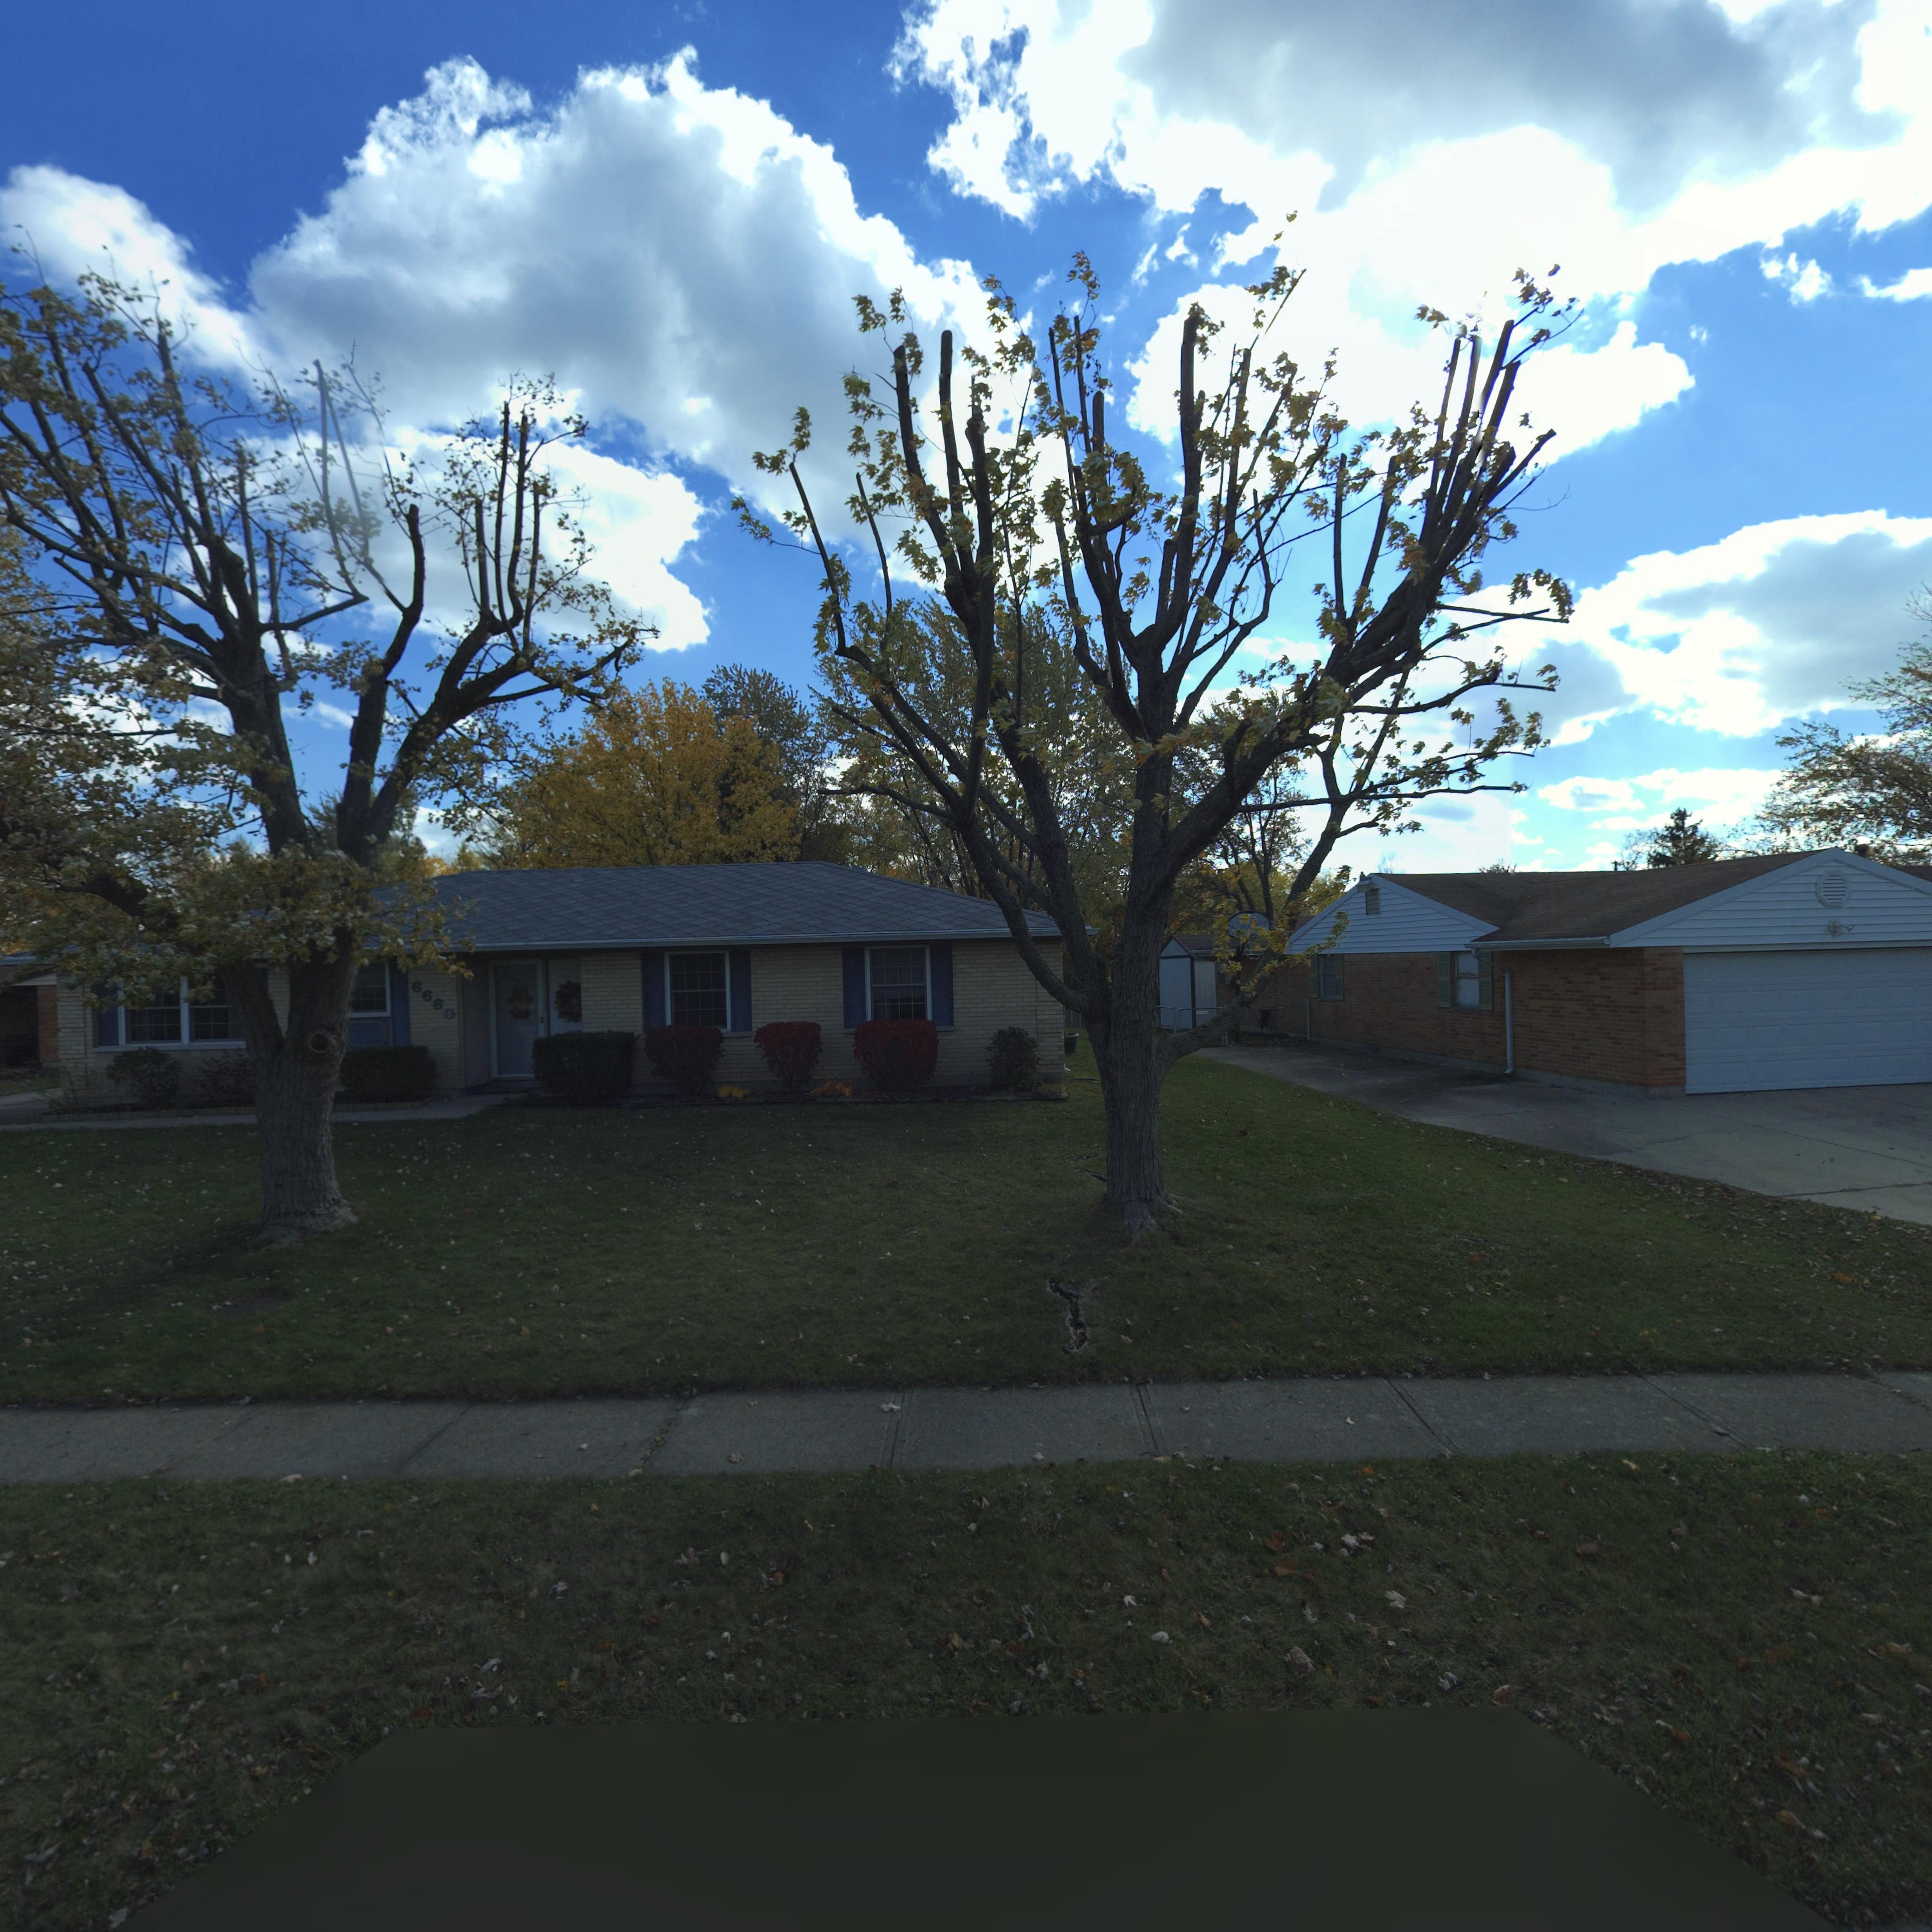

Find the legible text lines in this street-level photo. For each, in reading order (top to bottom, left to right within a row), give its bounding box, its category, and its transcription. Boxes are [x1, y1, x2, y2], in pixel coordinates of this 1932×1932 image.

[411, 980, 456, 1021] StreetNumber: 6660